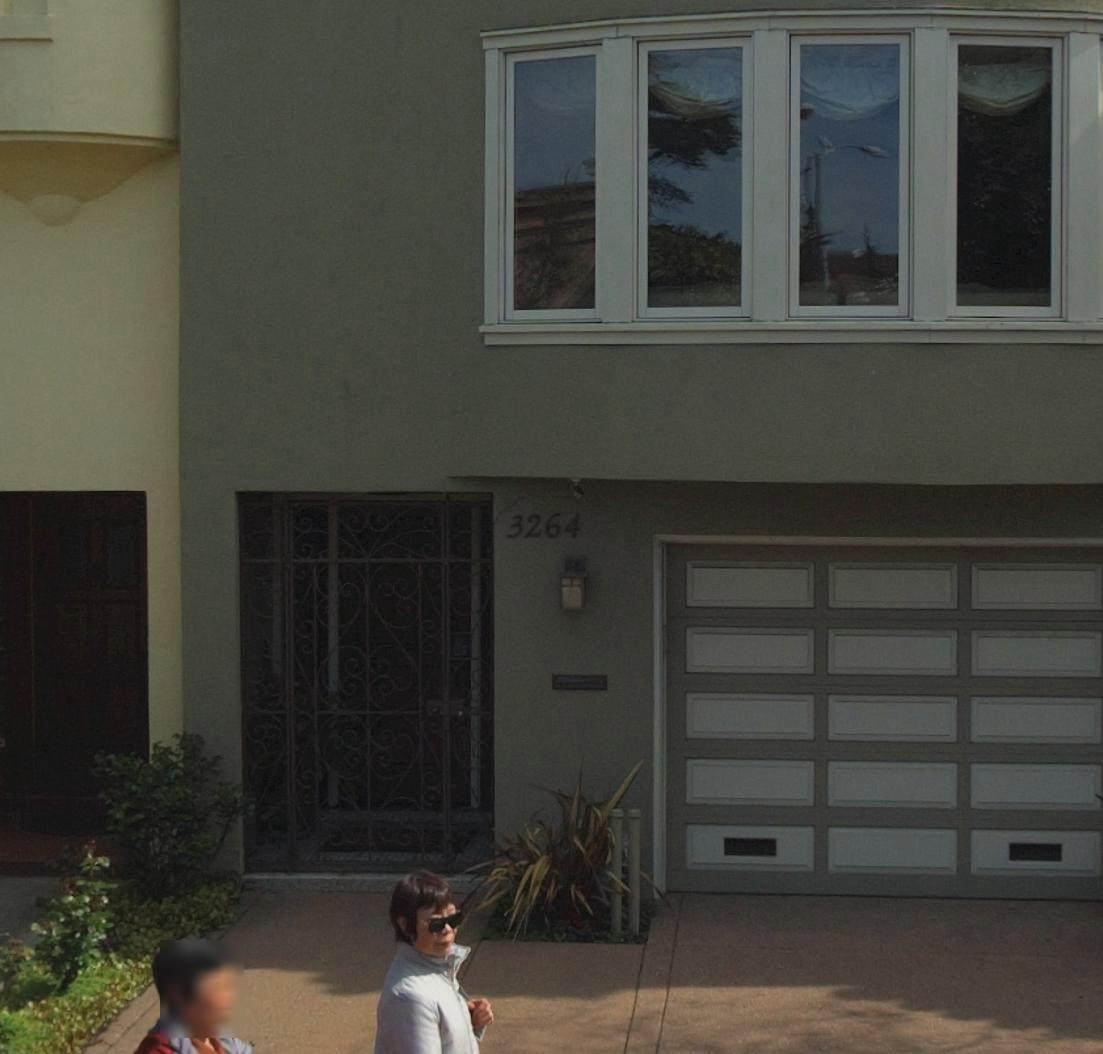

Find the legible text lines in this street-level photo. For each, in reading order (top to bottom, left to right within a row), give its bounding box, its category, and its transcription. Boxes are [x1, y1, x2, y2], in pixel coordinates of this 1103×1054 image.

[502, 510, 583, 542] StreetNumber: 3264